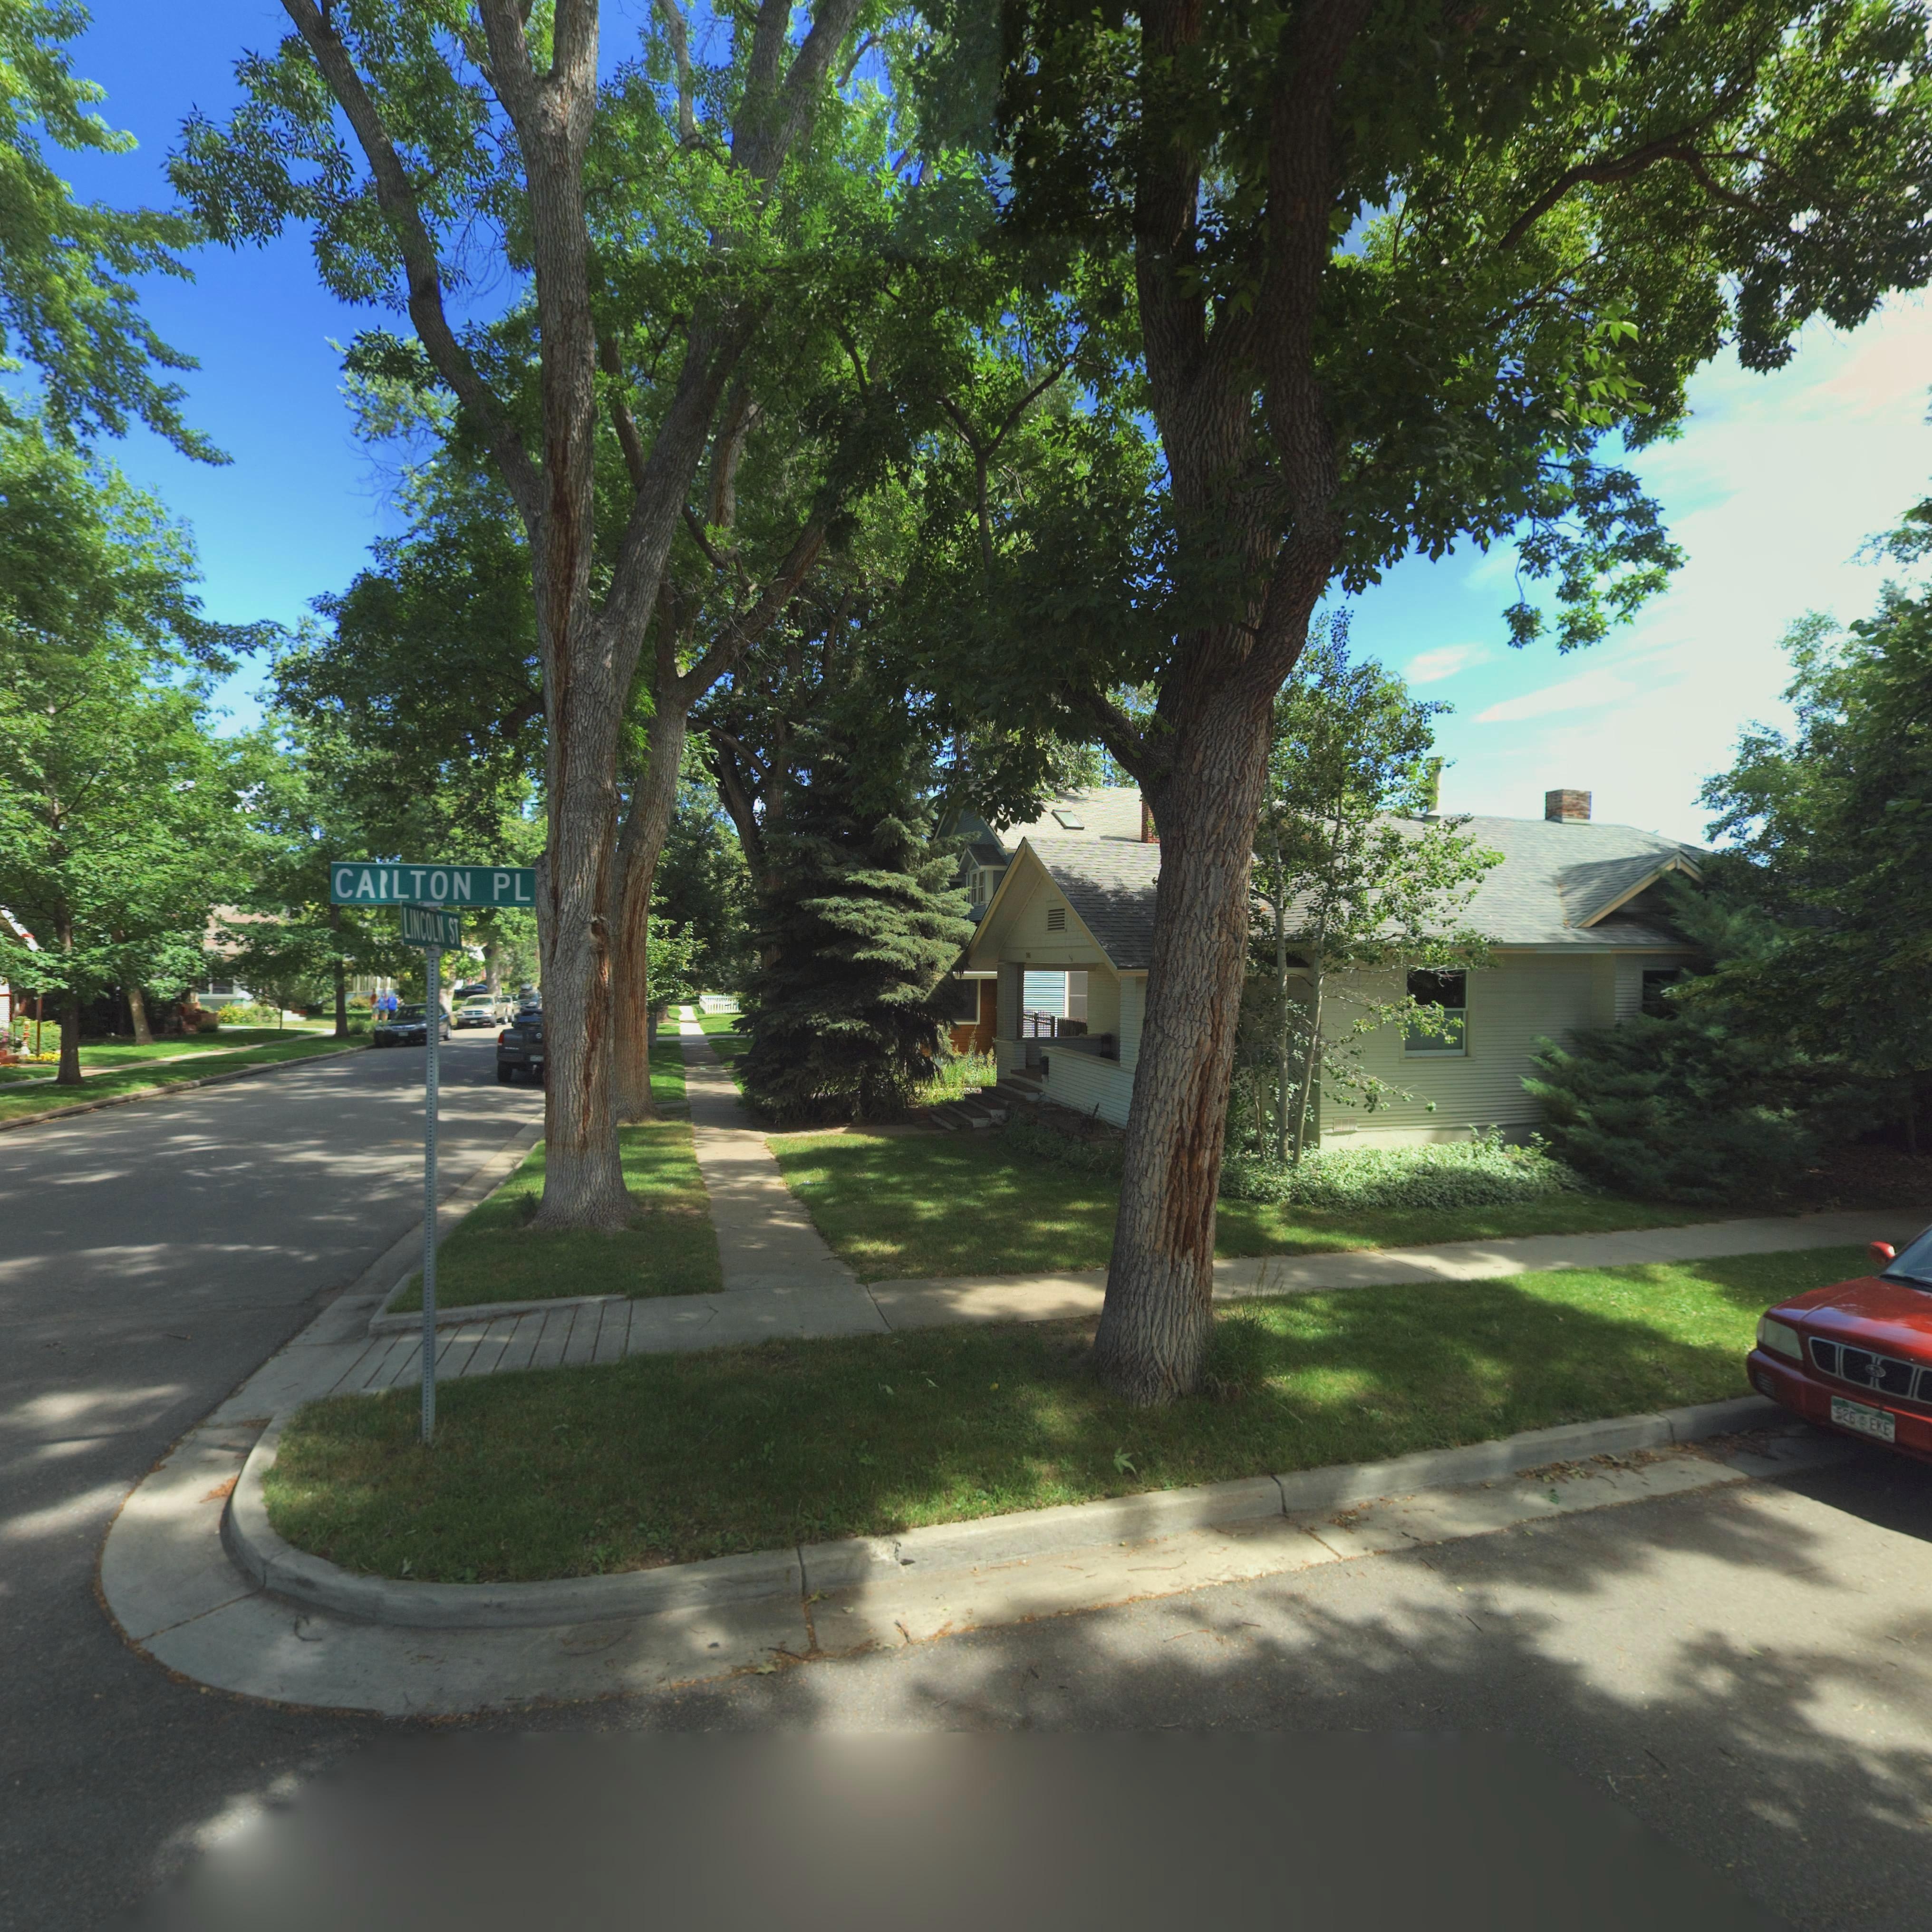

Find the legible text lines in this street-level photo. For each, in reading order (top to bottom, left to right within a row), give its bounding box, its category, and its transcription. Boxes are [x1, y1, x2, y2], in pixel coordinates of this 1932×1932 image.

[334, 868, 531, 900] StreetName: CA*LTON PL
[404, 907, 459, 945] StreetName: LINCOLN ST